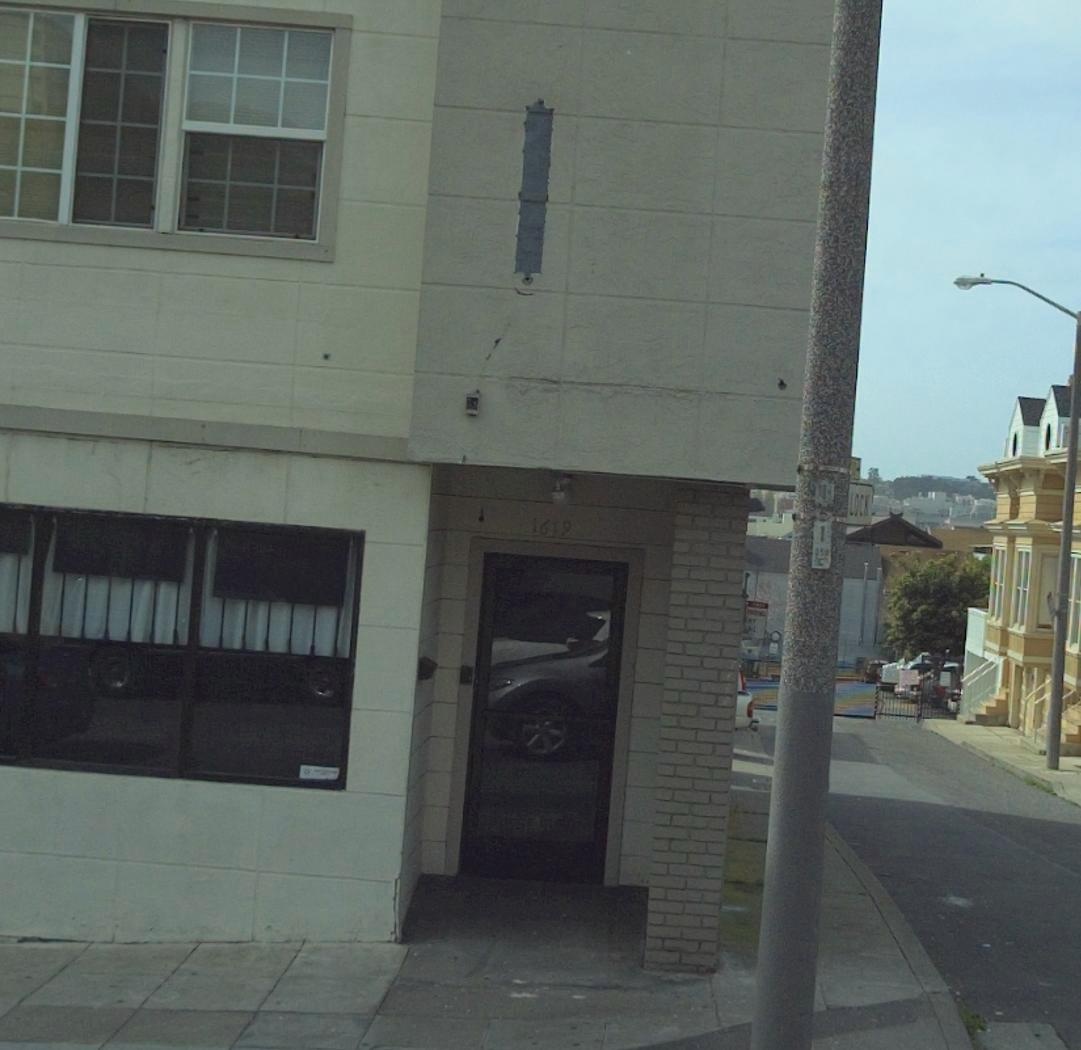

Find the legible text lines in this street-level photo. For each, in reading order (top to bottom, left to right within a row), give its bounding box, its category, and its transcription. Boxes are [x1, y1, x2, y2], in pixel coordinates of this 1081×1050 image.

[847, 490, 872, 520] StreetName: LOCK
[528, 515, 576, 538] StreetNumber: 1619
[817, 523, 828, 546] None: 1